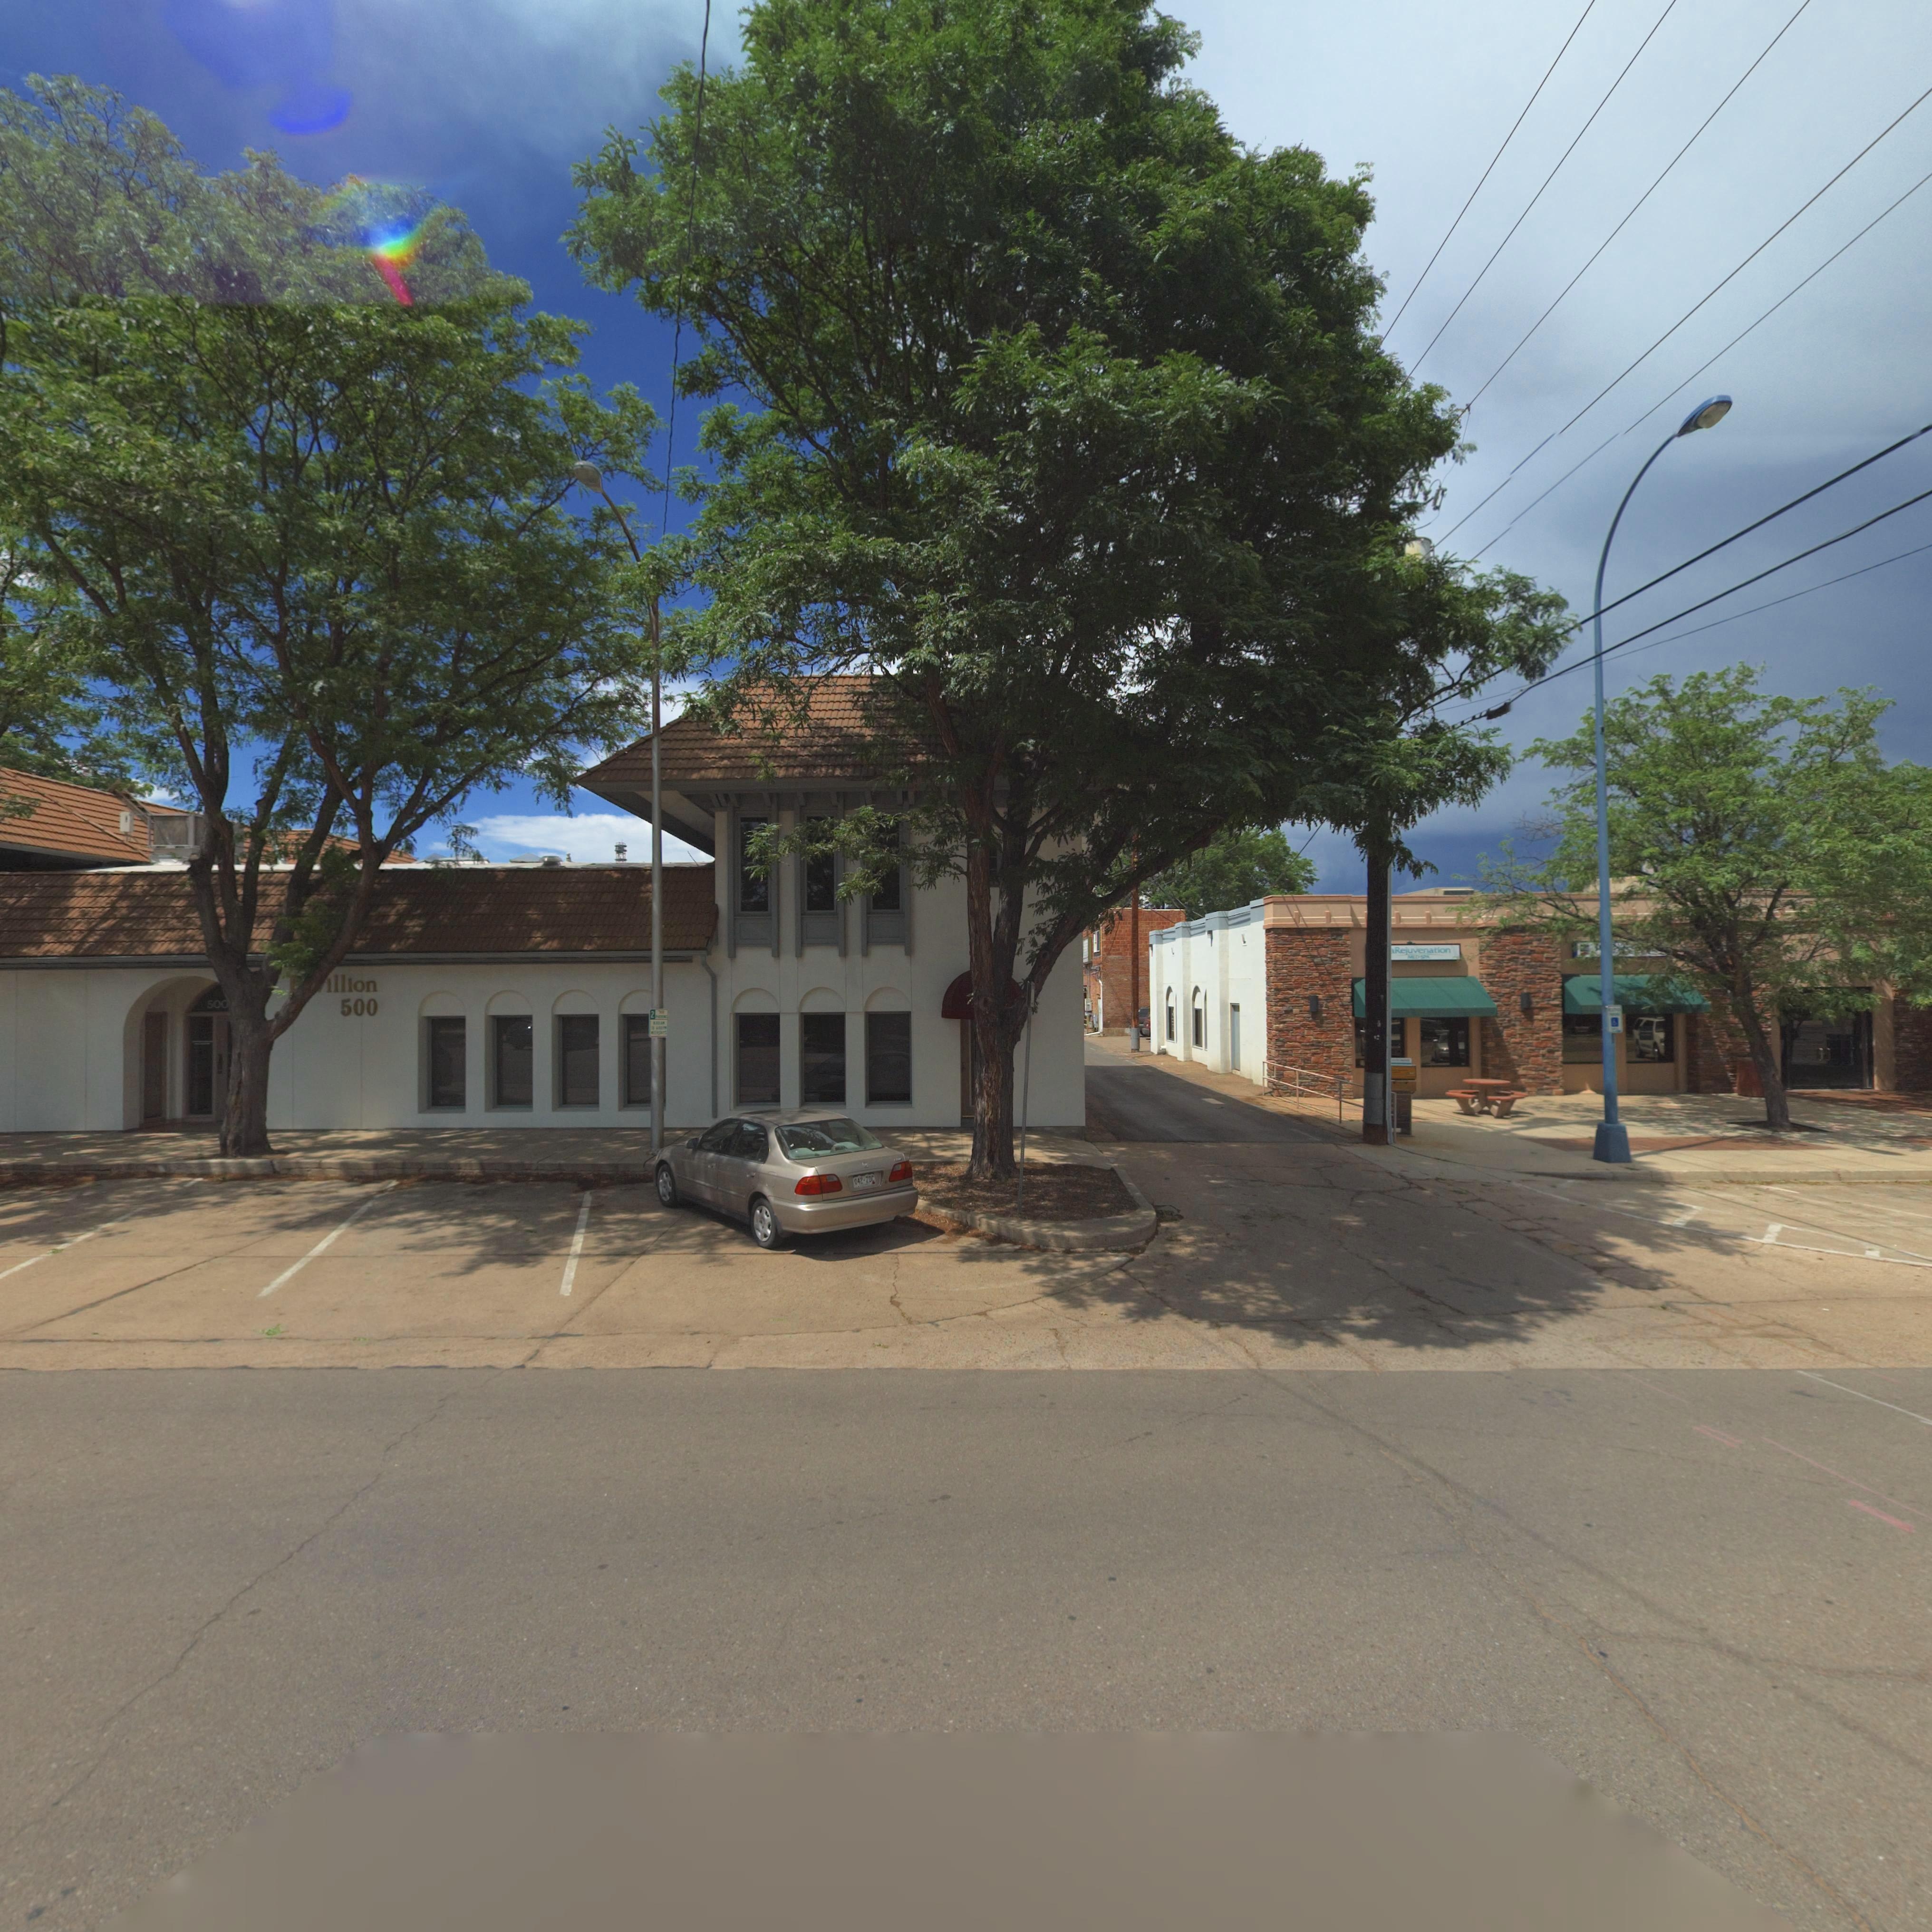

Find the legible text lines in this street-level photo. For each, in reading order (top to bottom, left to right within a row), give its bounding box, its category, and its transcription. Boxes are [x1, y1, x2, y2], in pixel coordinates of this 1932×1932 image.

[1394, 947, 1450, 956] BusinessName: Rejuvenation
[1407, 954, 1430, 958] BusinessName: MED SPA
[206, 999, 229, 1009] StreetNumber: 500
[339, 997, 378, 1017] StreetNumber: 500